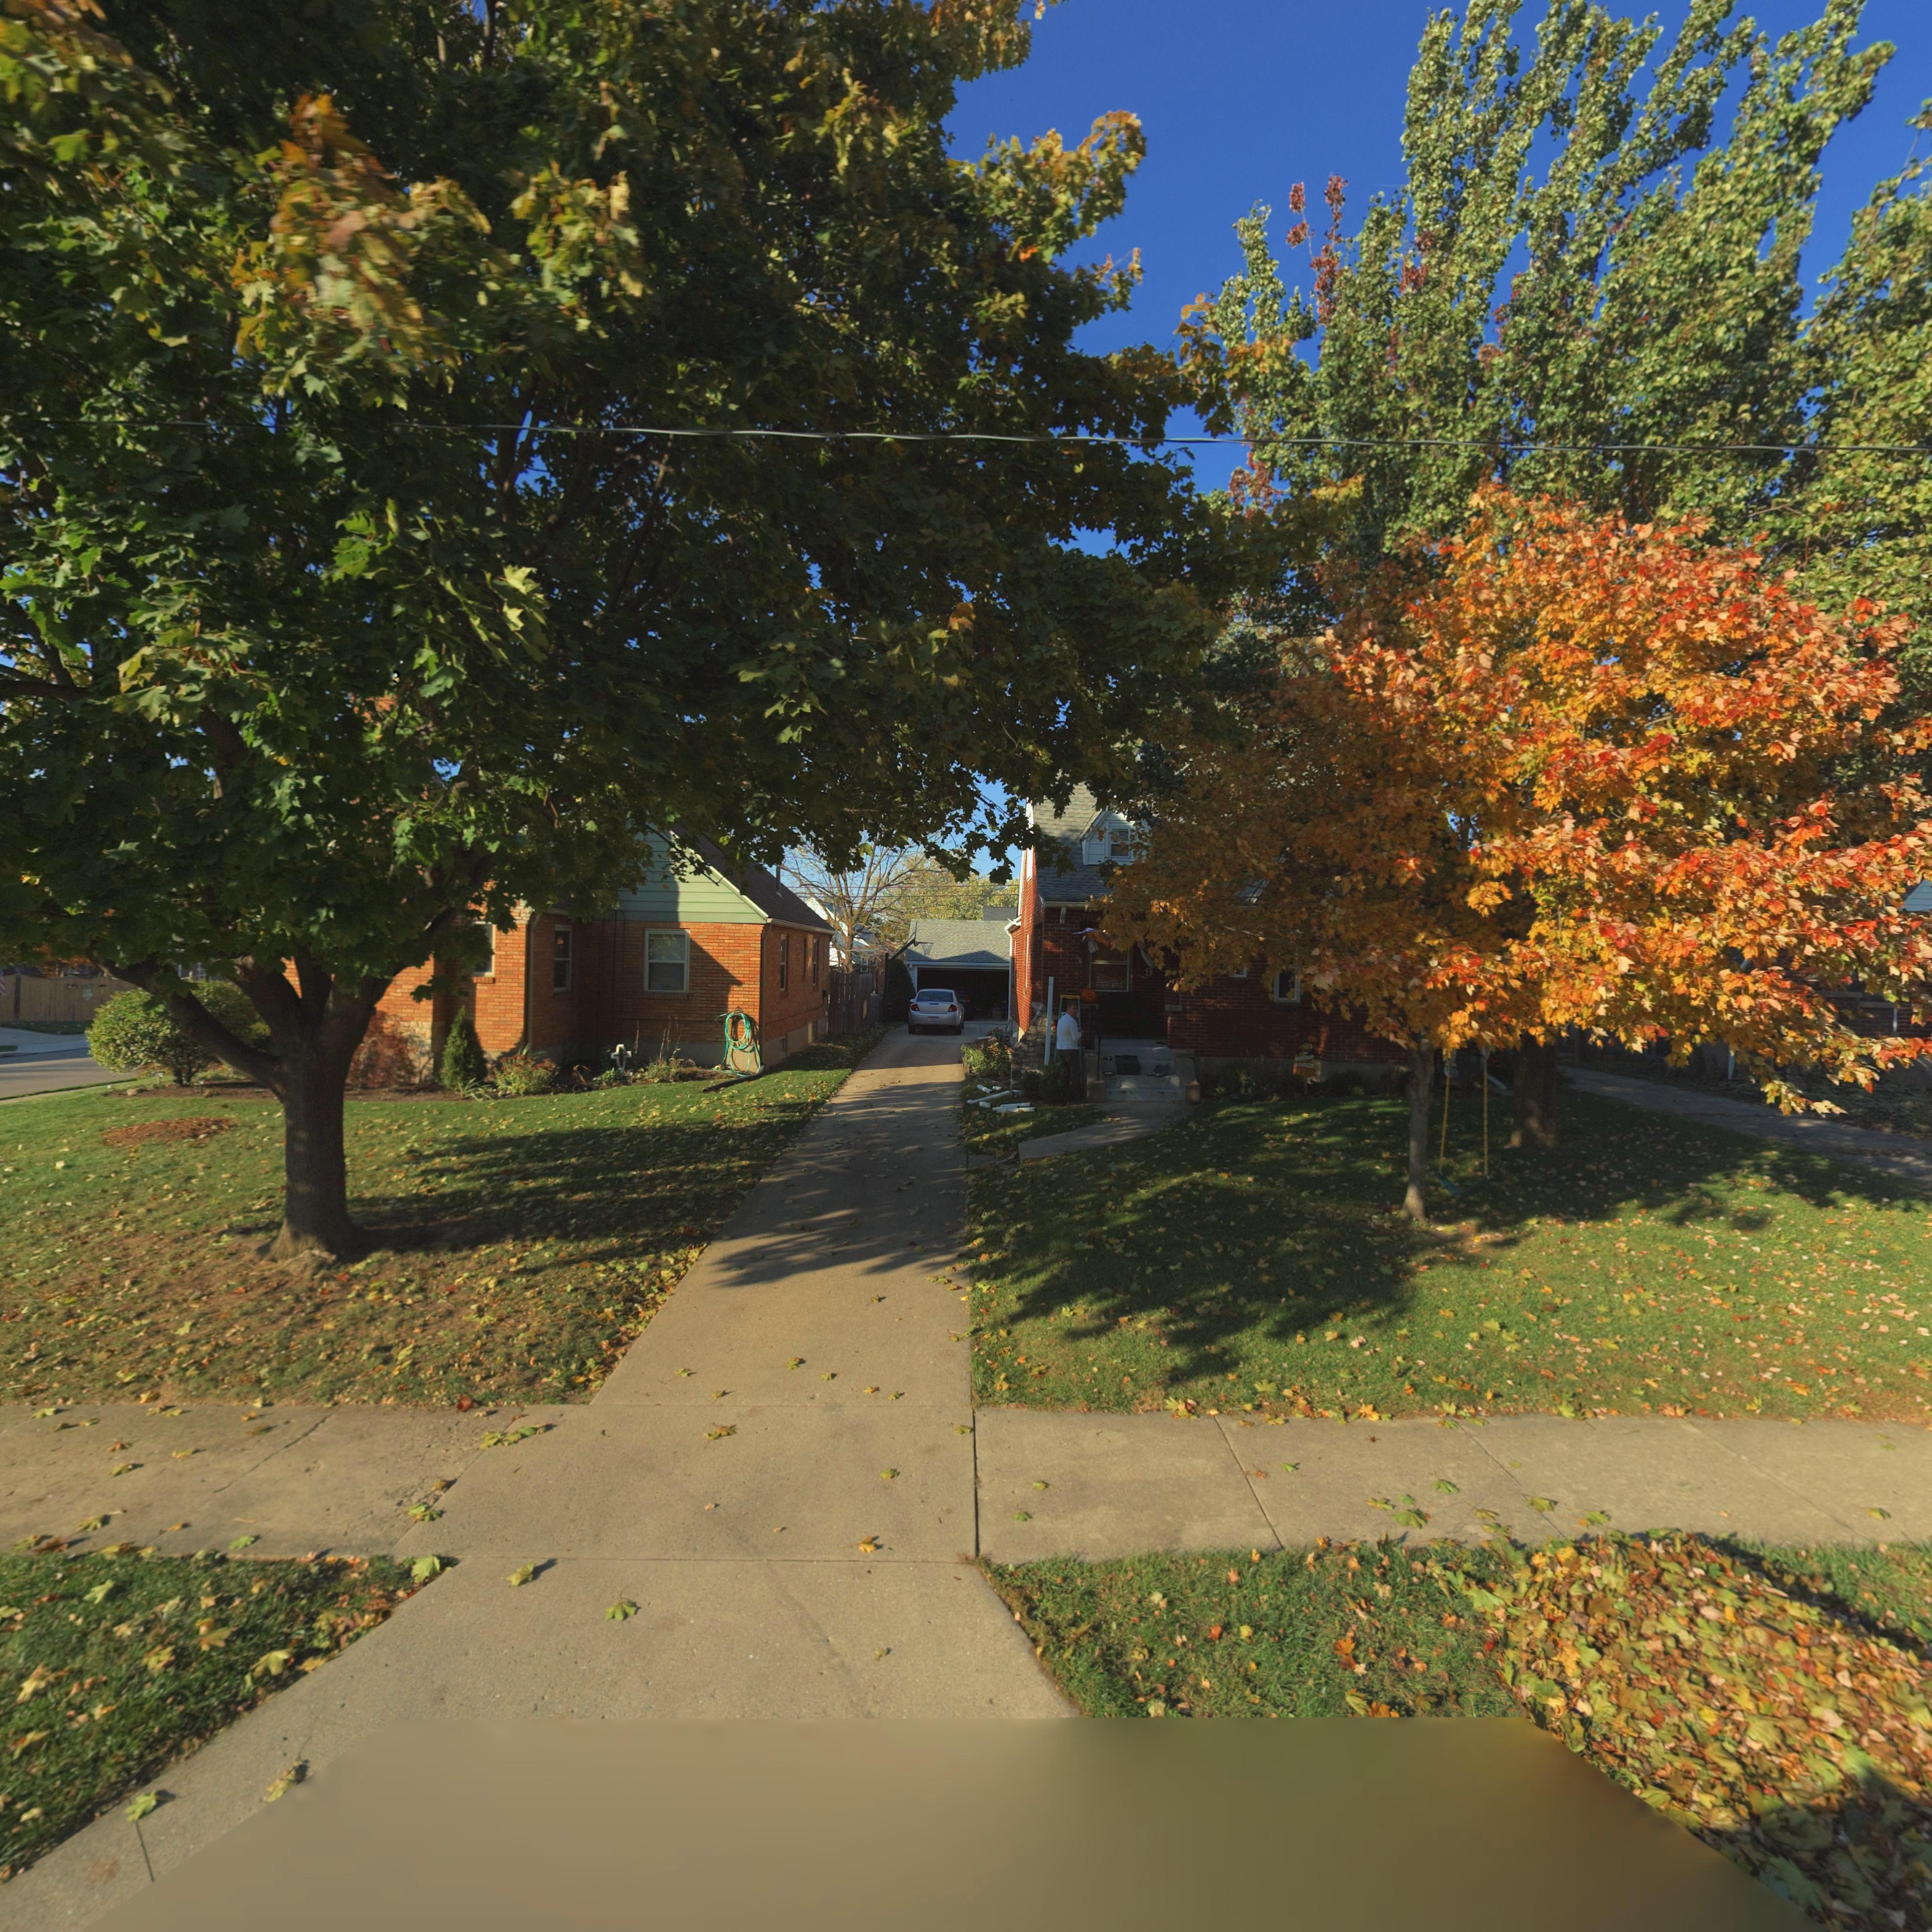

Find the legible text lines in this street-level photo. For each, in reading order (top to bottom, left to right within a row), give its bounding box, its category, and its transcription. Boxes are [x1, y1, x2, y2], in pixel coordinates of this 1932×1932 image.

[1144, 967, 1154, 977] StreetNumber: 9